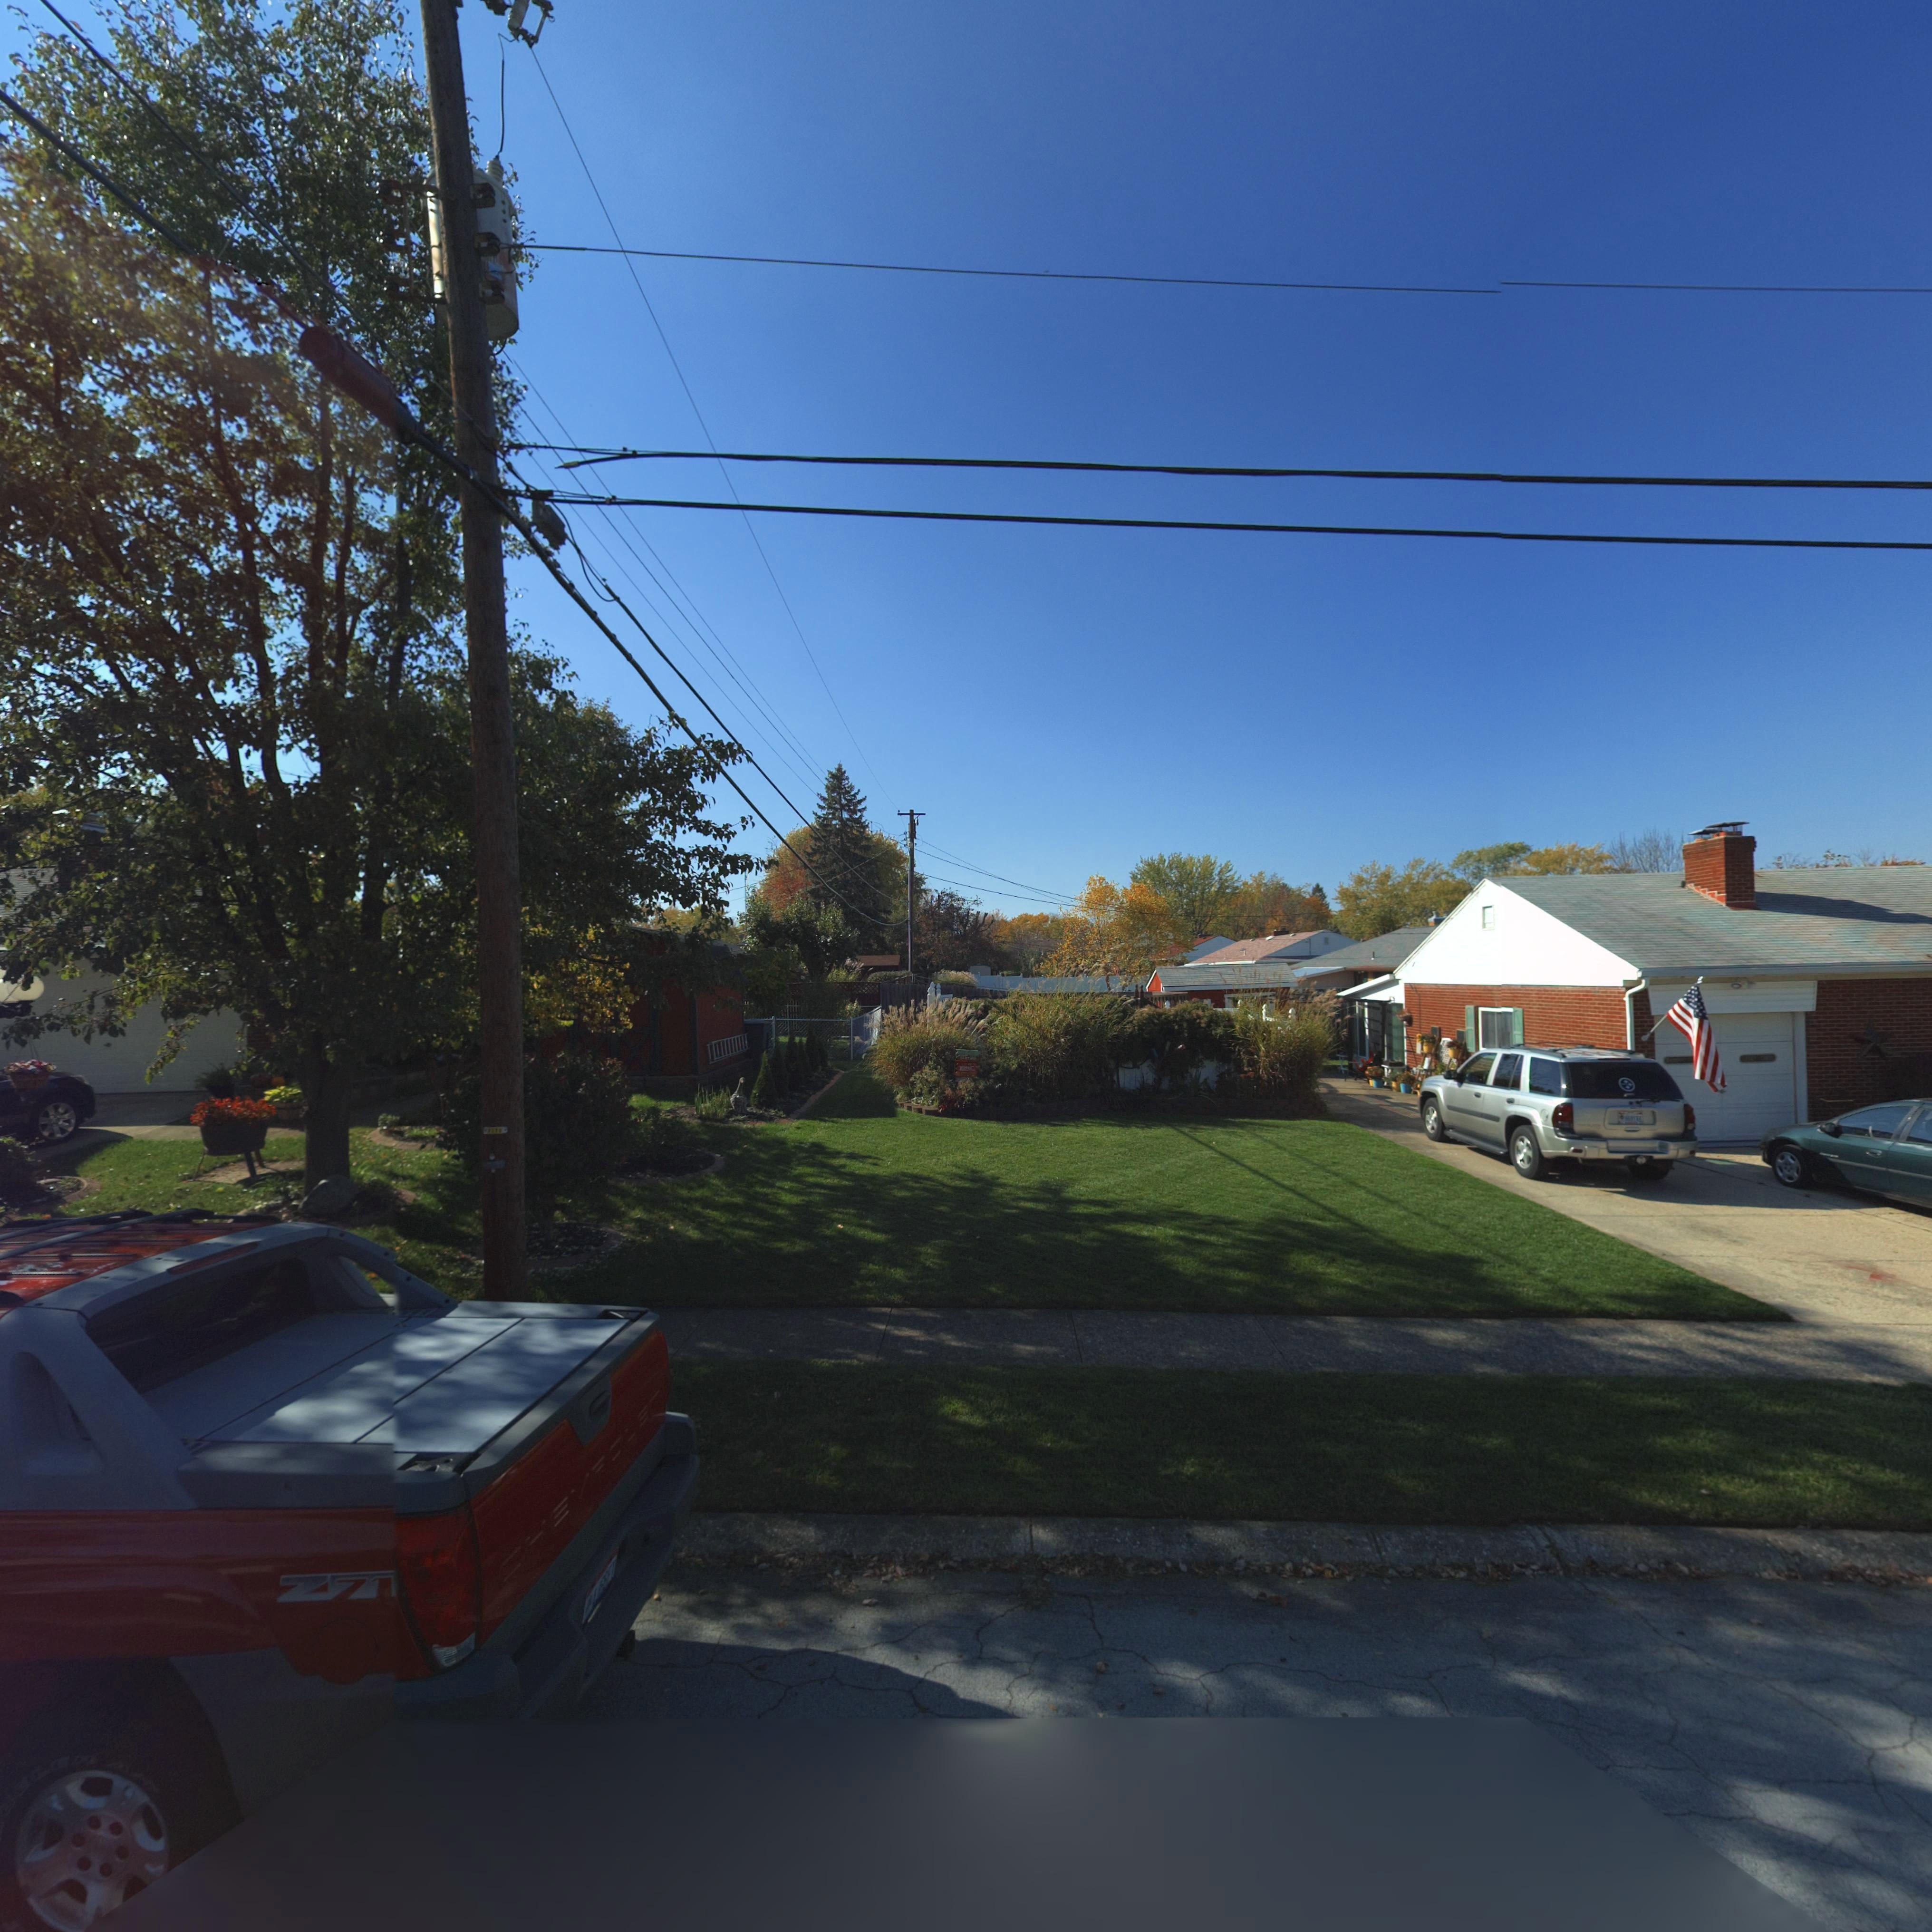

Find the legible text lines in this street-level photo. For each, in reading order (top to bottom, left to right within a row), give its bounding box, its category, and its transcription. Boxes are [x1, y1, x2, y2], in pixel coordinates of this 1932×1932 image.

[1624, 1115, 1641, 1122] None: 069TAX
[277, 1569, 399, 1604] None: Z71